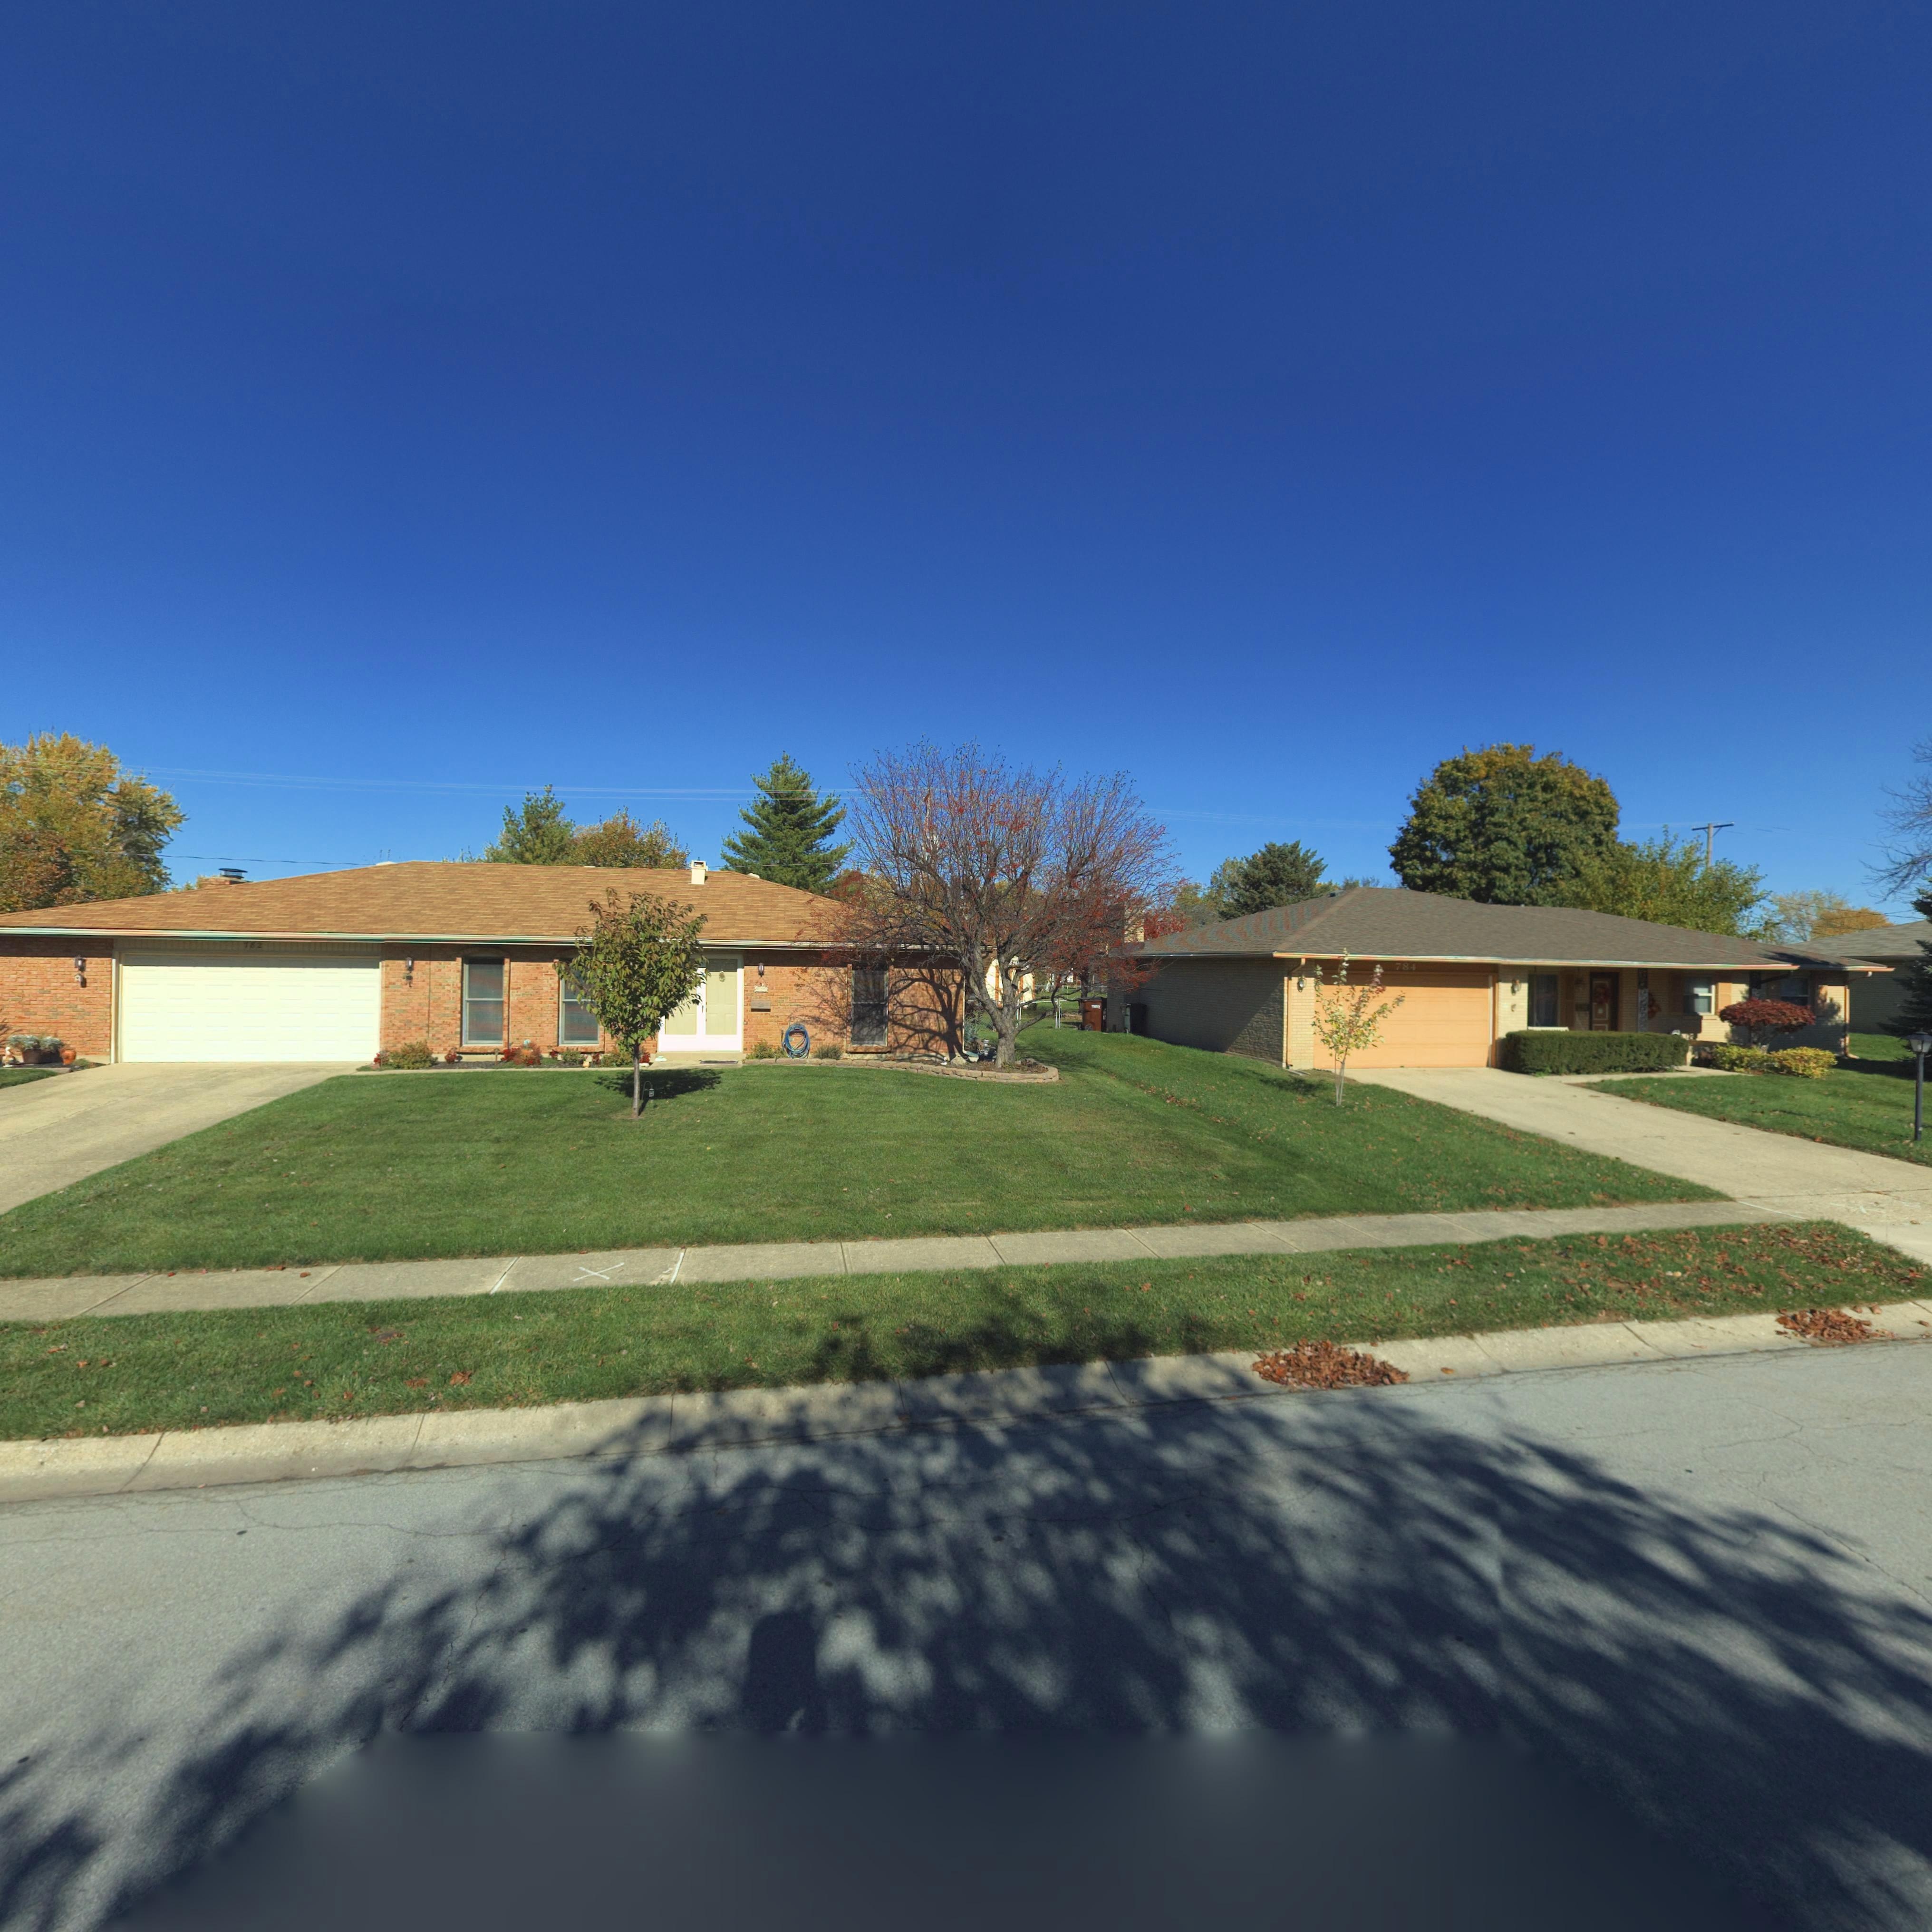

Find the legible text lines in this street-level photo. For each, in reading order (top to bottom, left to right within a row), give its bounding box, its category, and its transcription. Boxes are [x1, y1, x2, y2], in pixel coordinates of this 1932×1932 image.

[243, 941, 263, 949] StreetNumber: 782
[1394, 962, 1417, 971] StreetNumber: 784